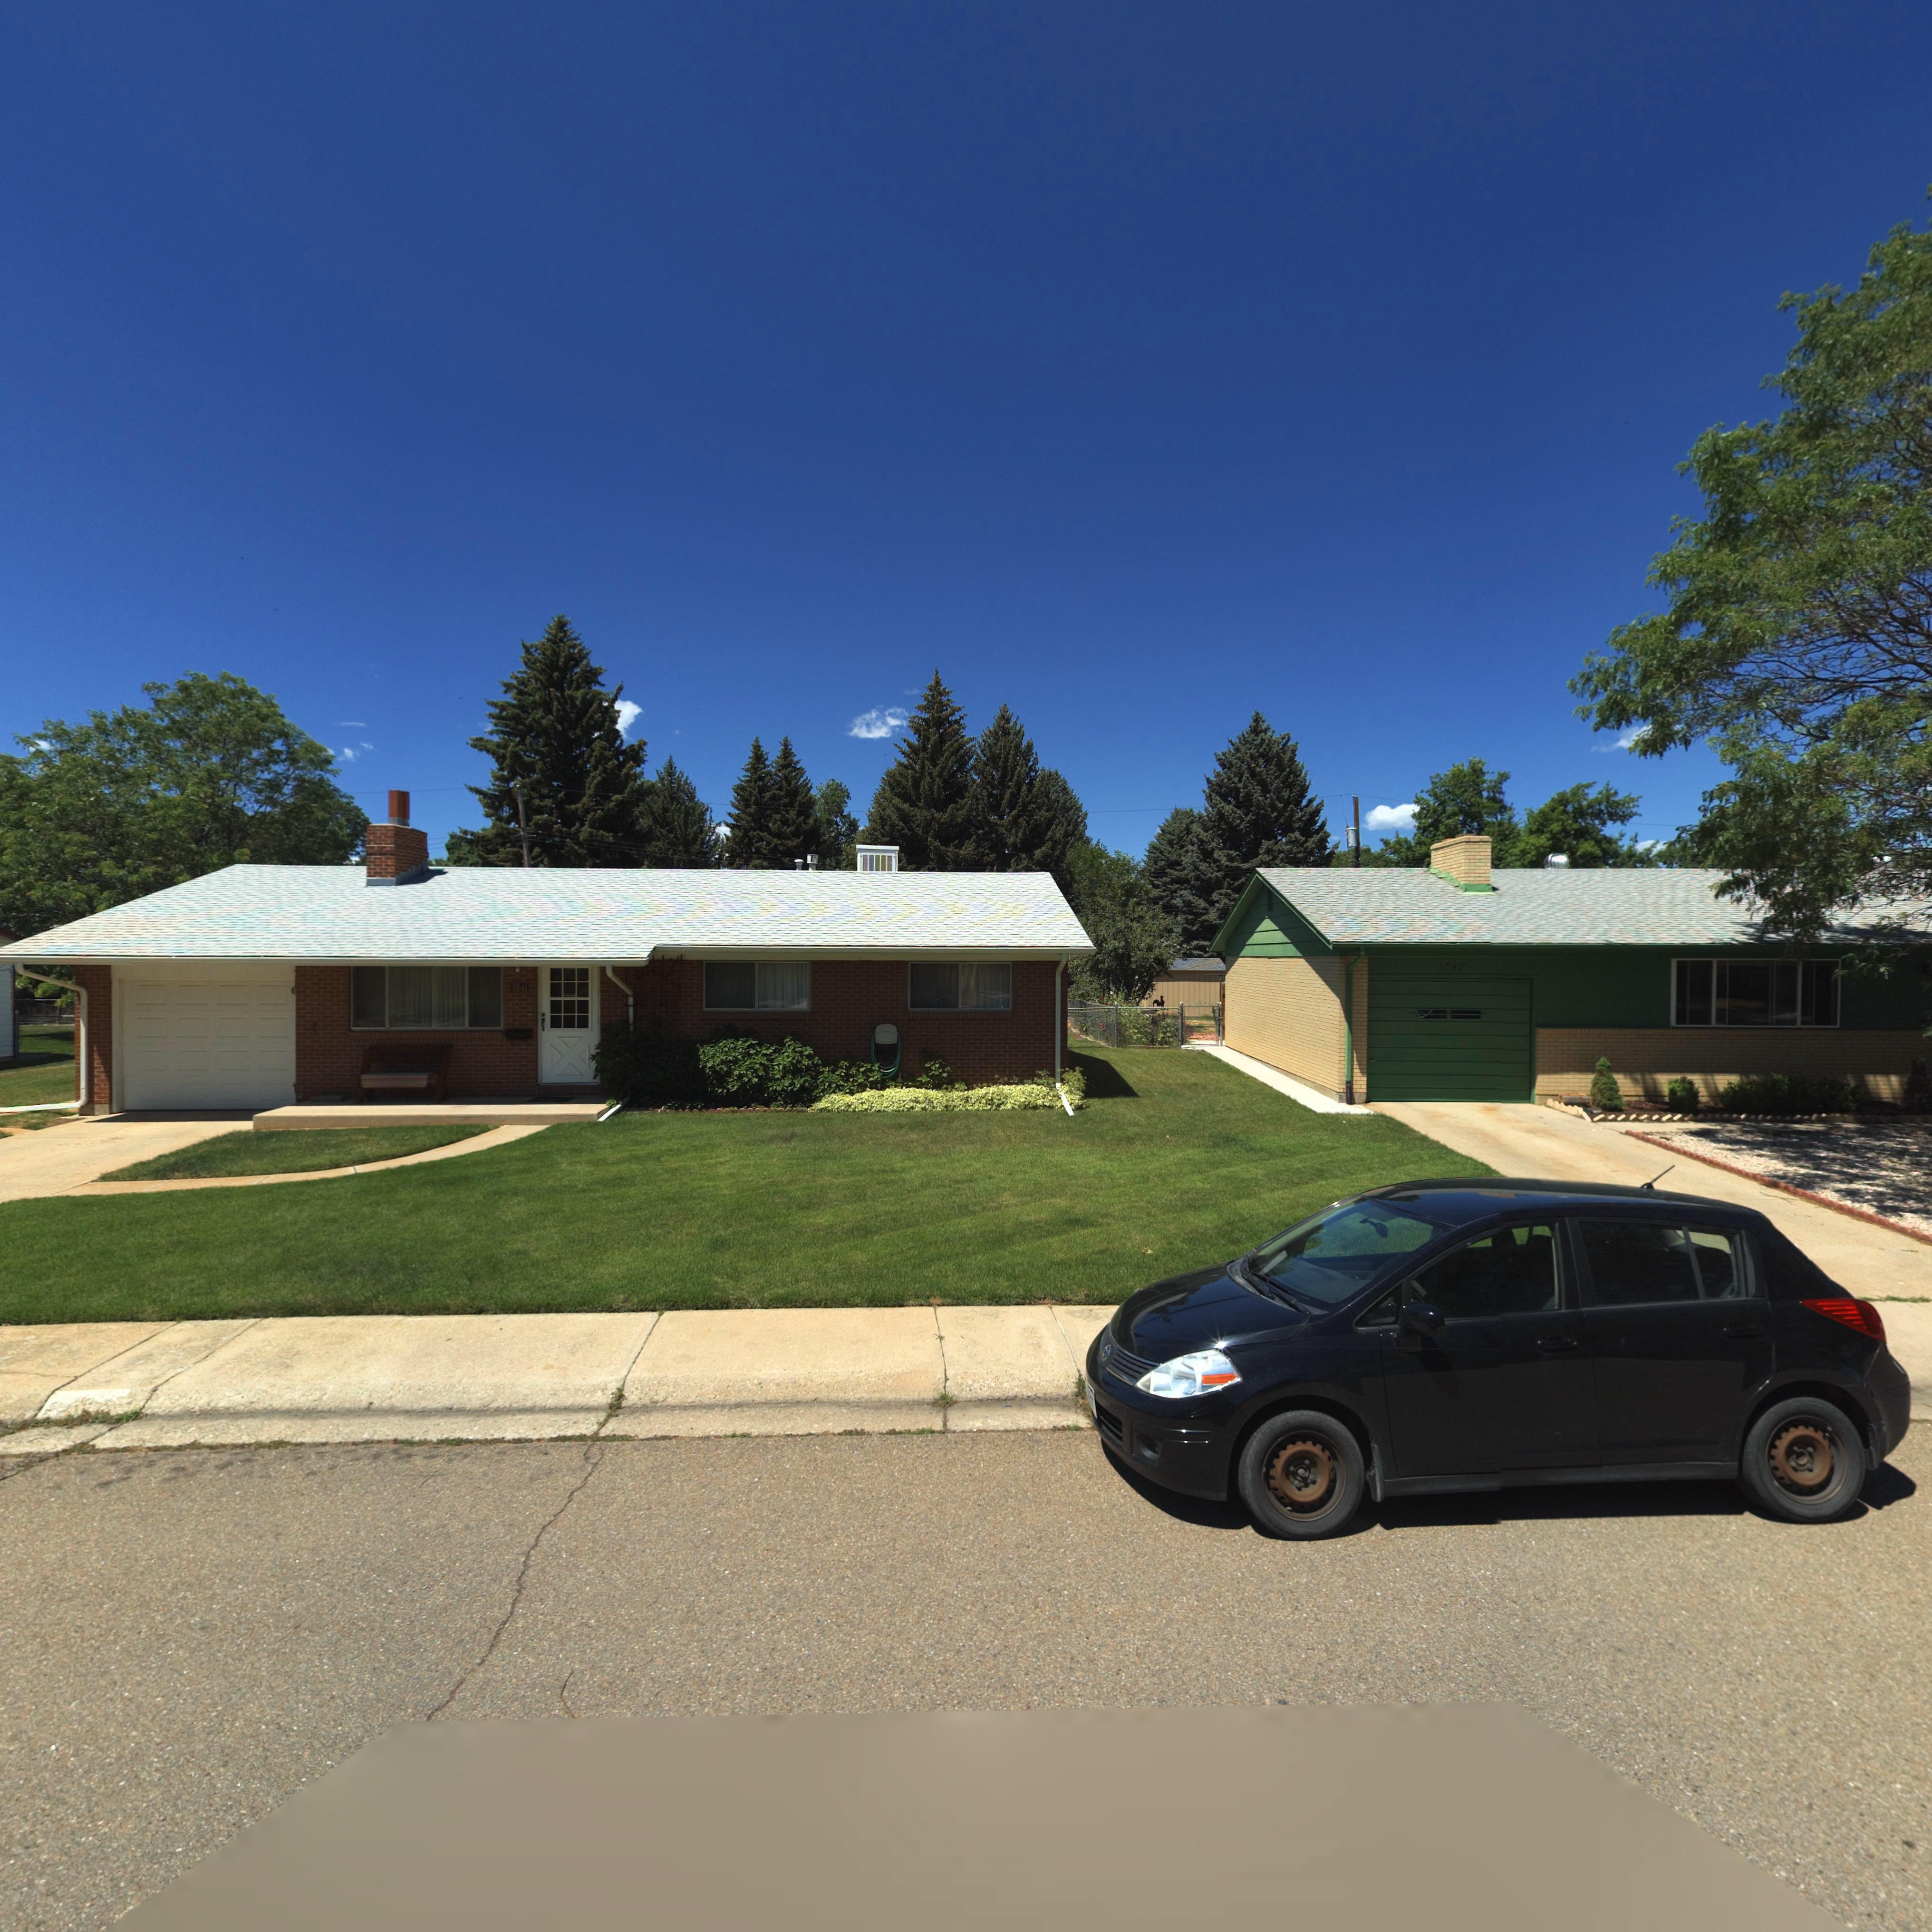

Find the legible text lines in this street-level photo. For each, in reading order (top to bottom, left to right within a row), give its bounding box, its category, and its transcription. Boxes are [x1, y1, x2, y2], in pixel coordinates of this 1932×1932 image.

[1438, 963, 1467, 973] StreetNumber: 1847
[512, 983, 528, 992] StreetNumber: 1841